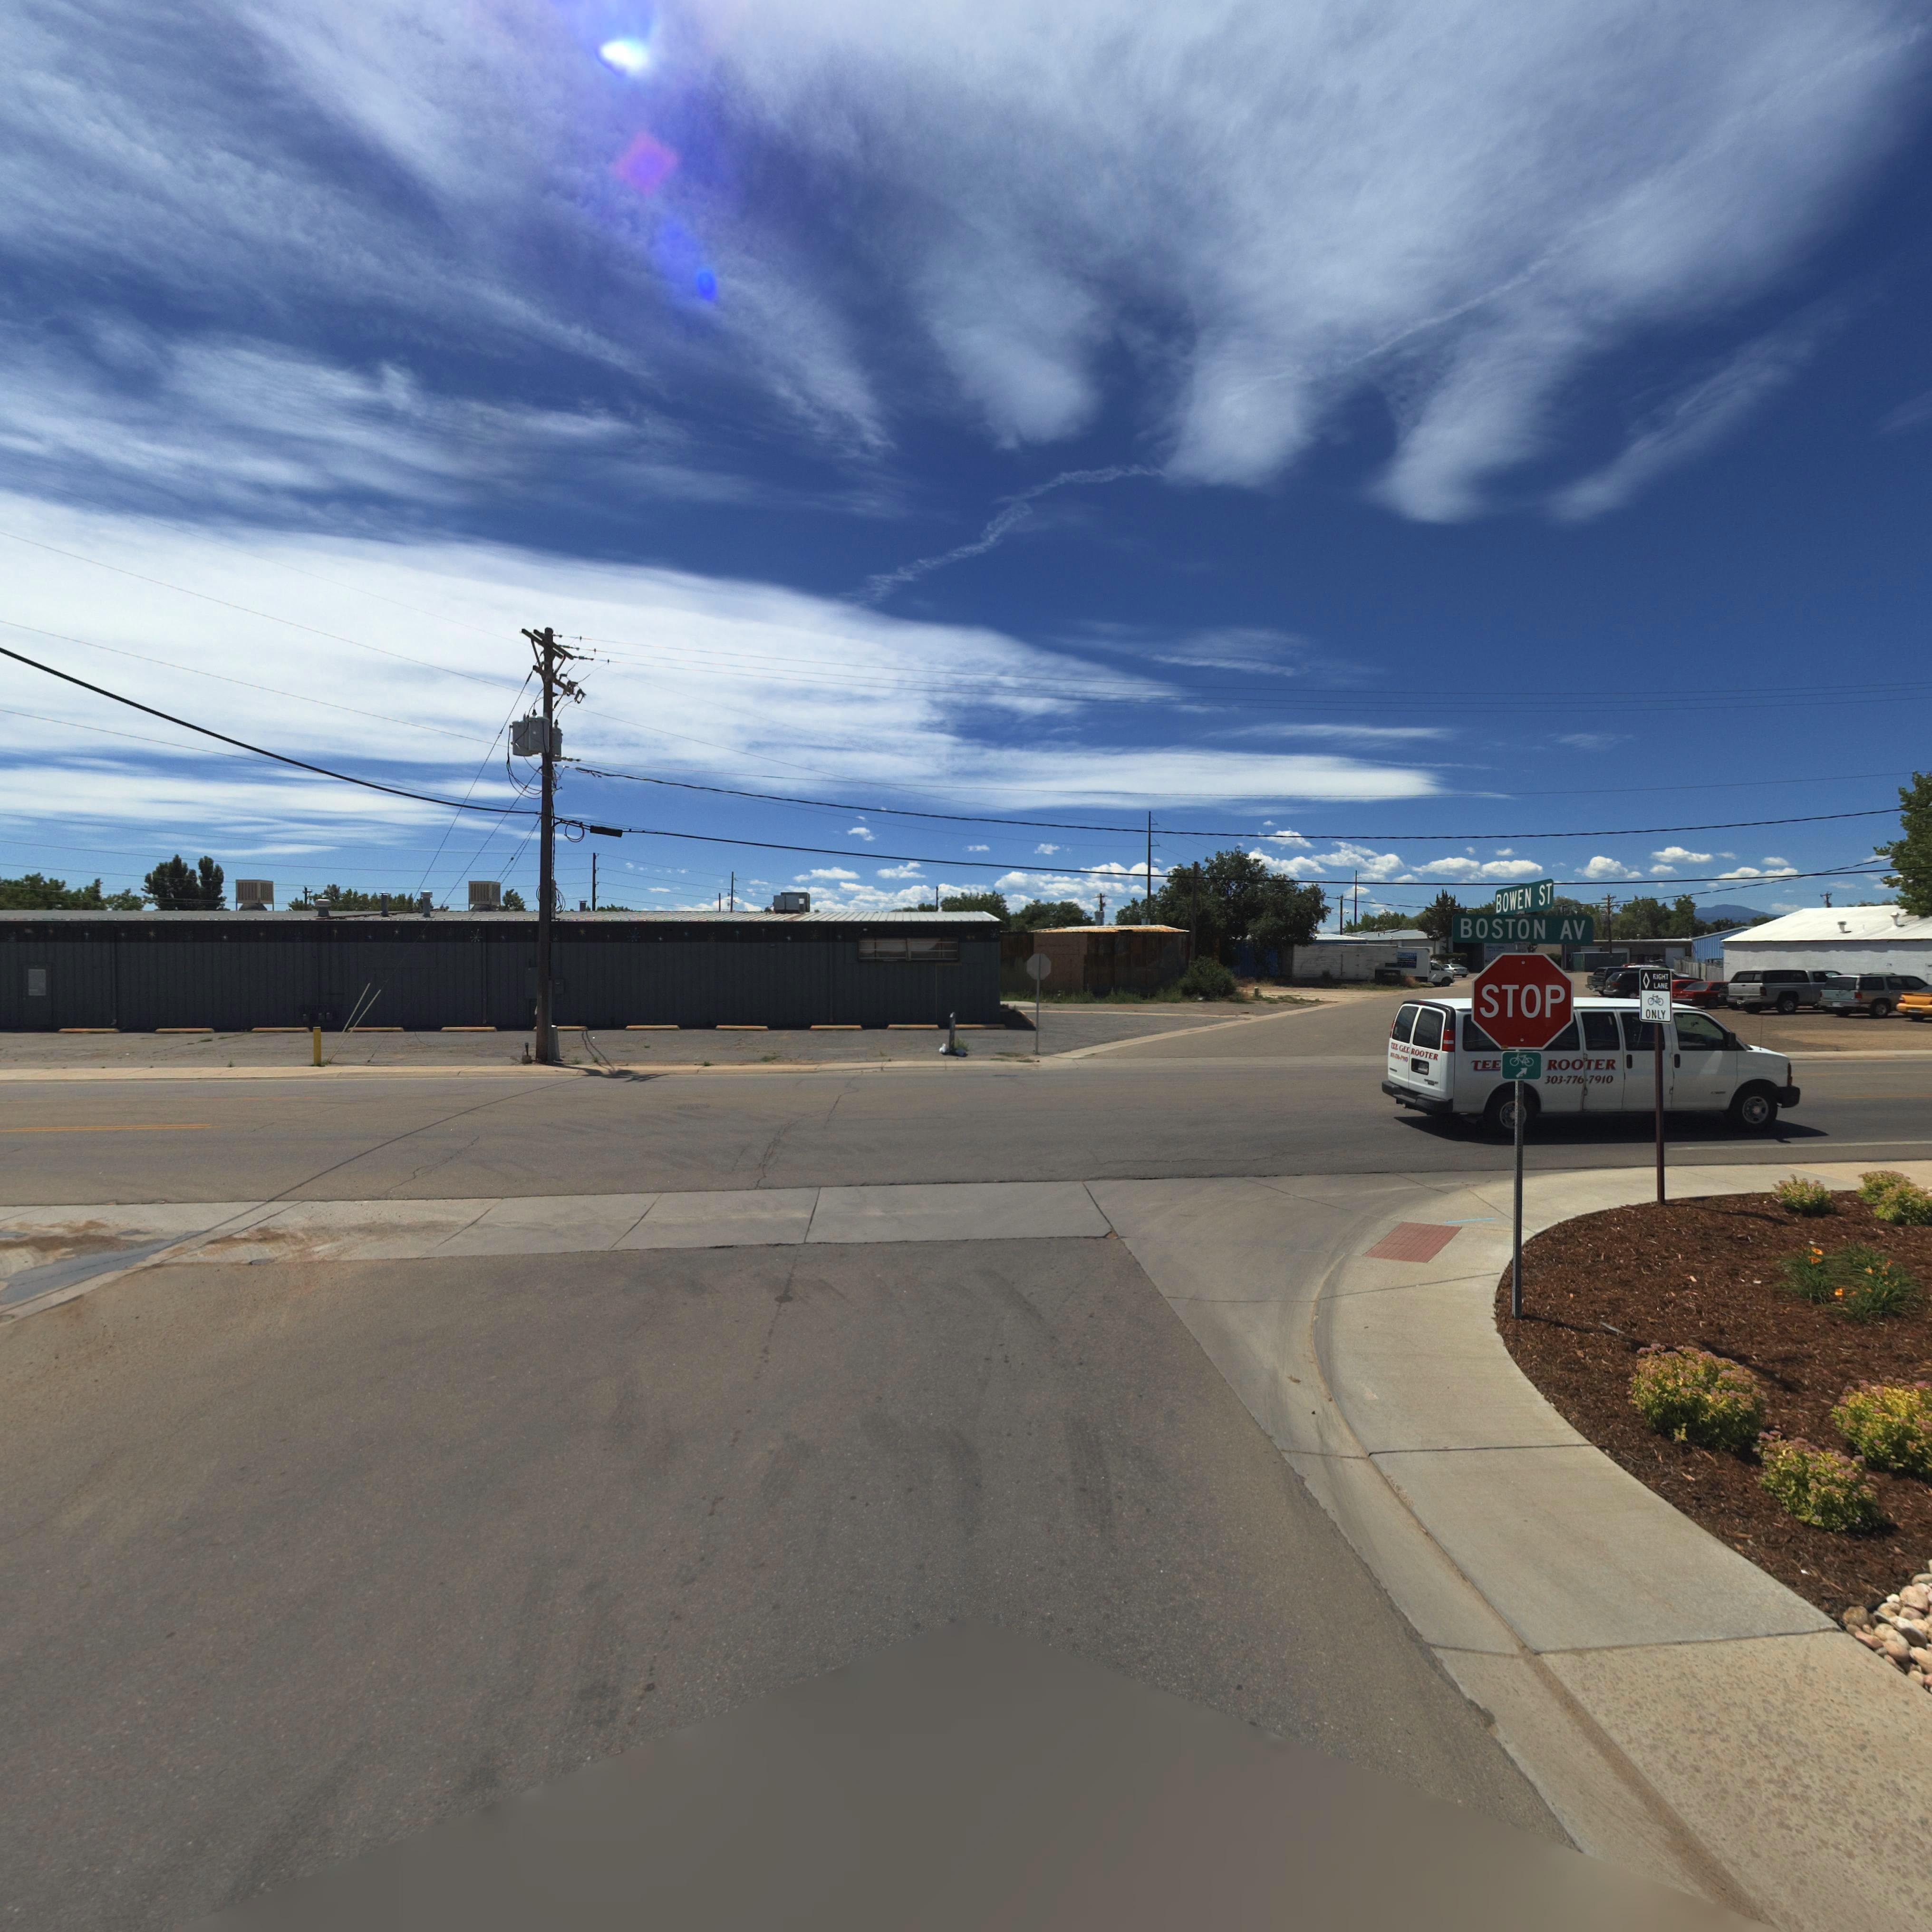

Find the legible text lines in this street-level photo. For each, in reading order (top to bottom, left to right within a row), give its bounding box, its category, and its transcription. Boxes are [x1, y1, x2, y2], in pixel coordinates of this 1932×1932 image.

[1496, 882, 1552, 914] StreetName: BOWEN ST
[1460, 918, 1584, 939] StreetName: BOSTON AV